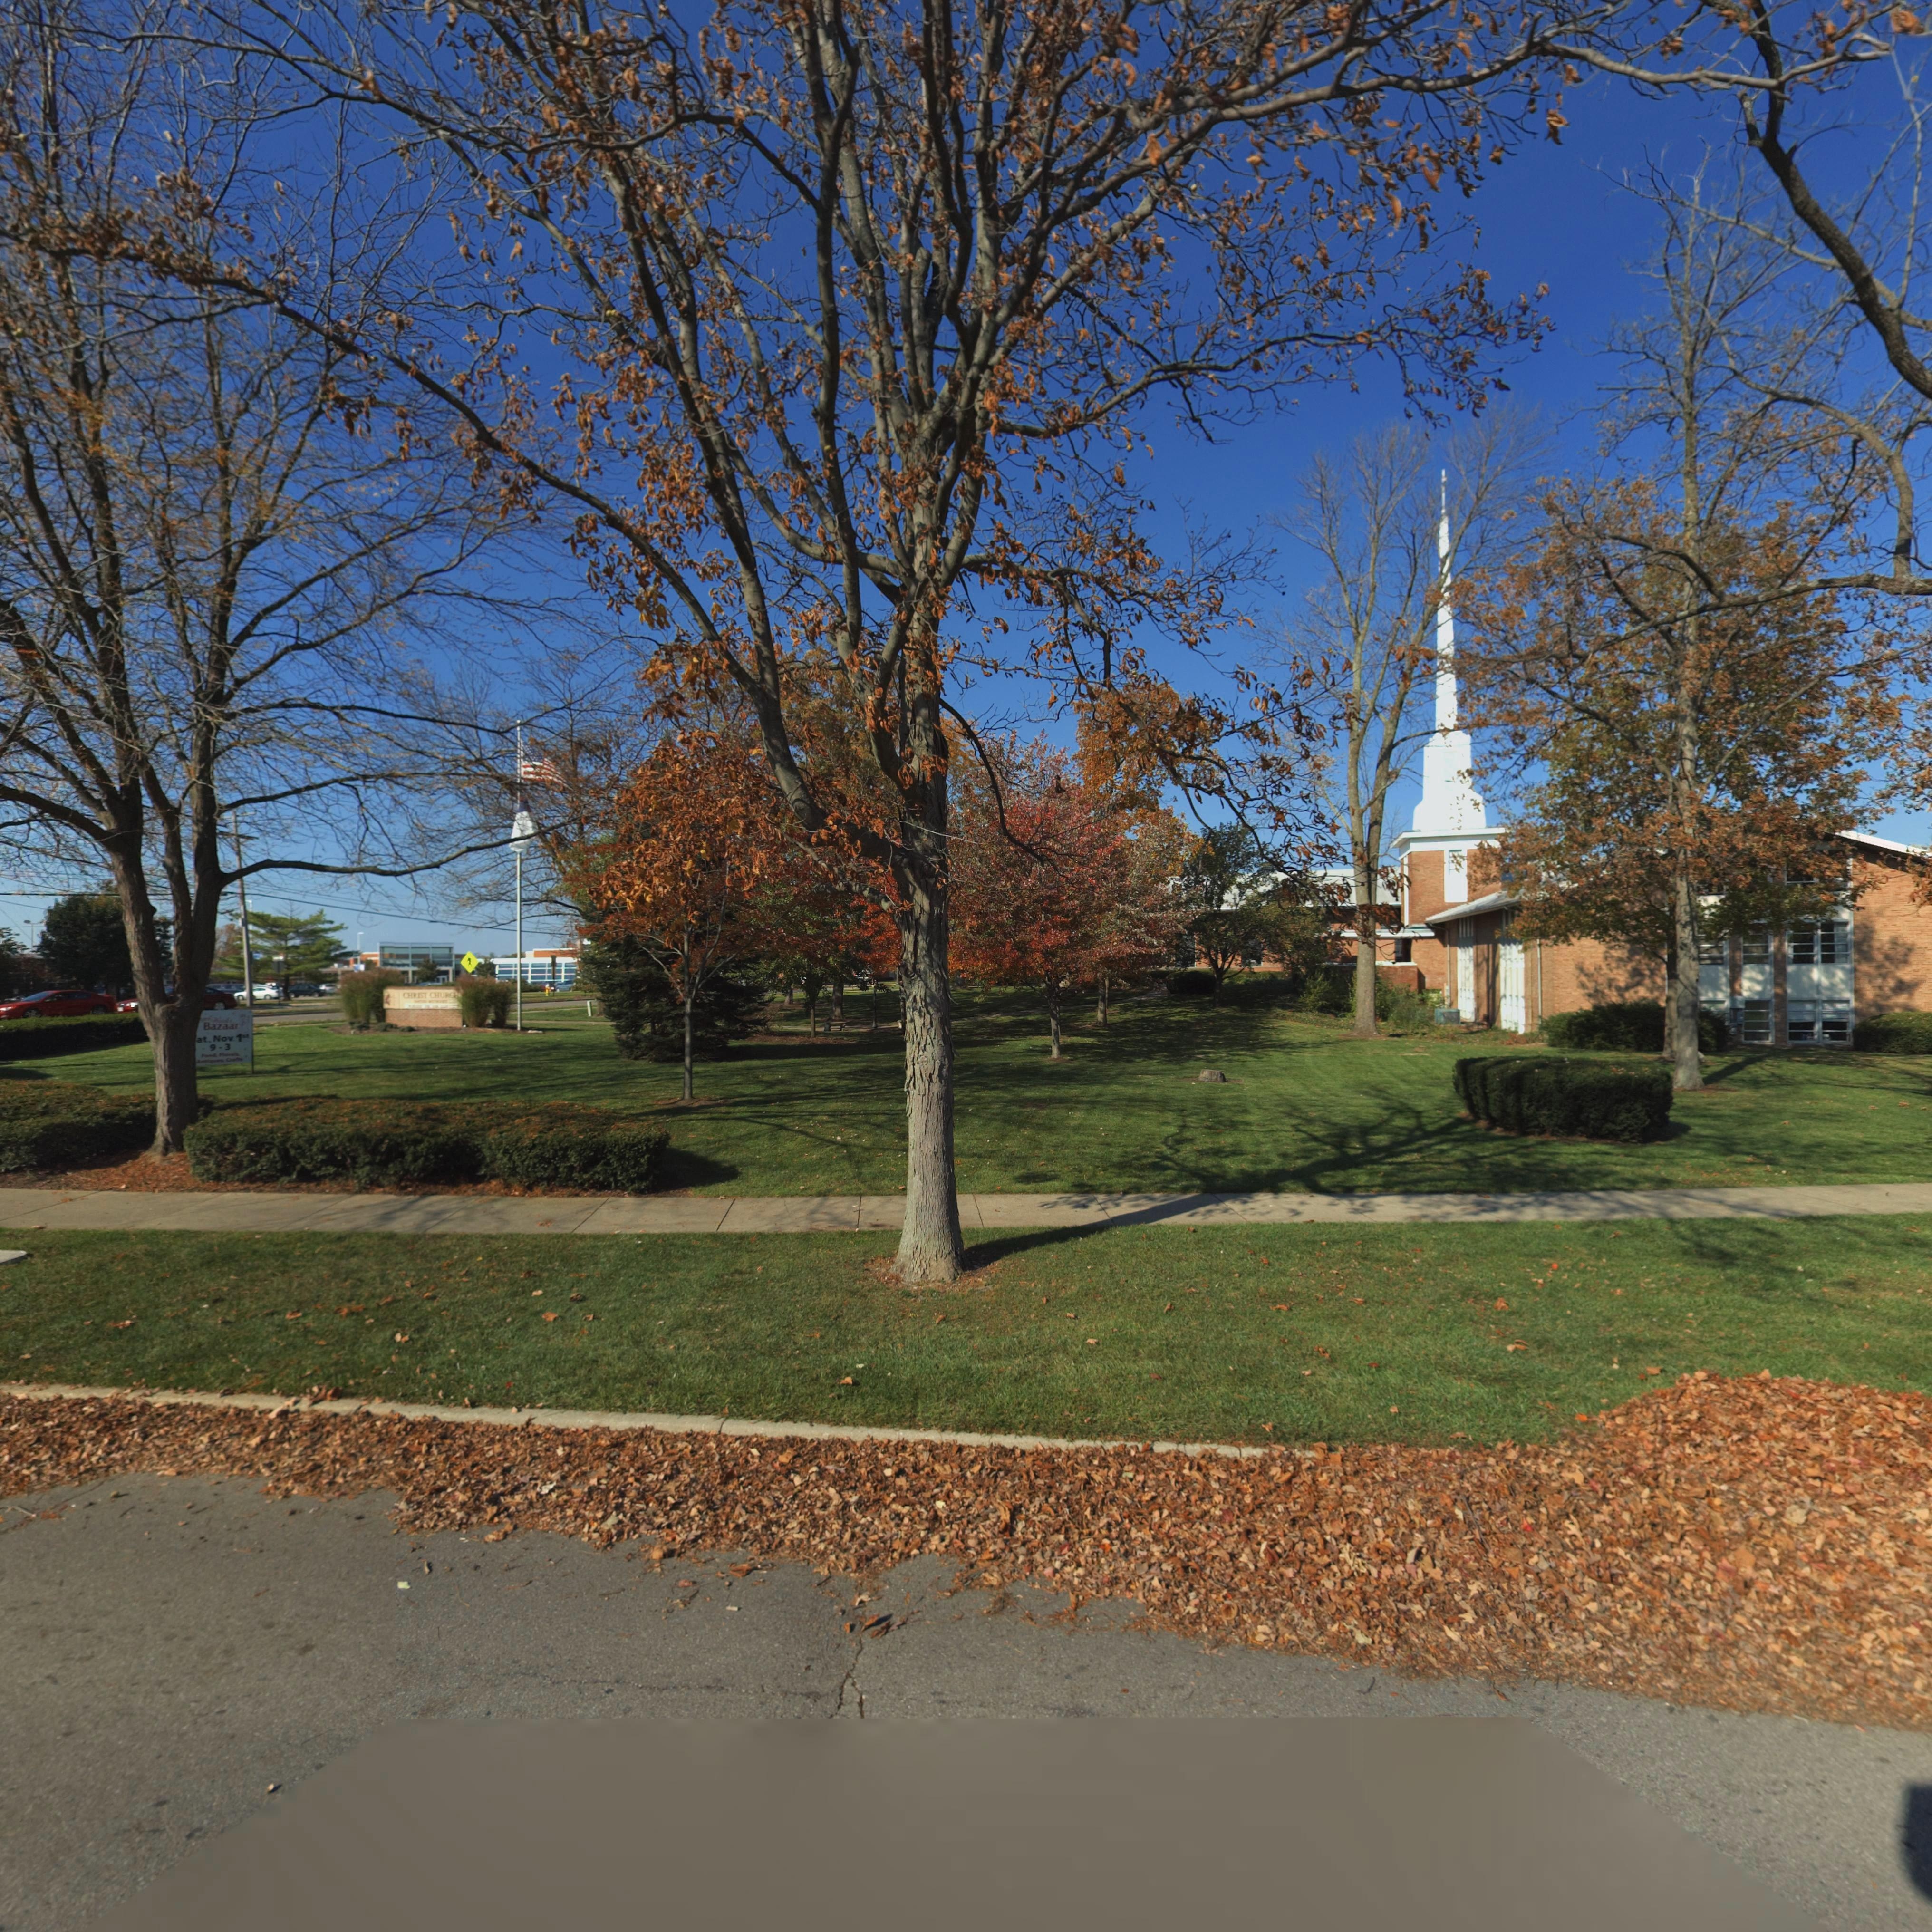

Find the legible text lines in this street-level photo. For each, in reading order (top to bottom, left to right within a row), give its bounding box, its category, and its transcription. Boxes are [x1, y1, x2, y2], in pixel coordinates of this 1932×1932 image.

[402, 991, 459, 999] BusinessName: CHRIST CHURCH
[203, 1021, 239, 1031] None: Bazaar
[197, 1033, 250, 1043] None: at. Nov. 1st
[210, 1043, 231, 1052] None: 9-3